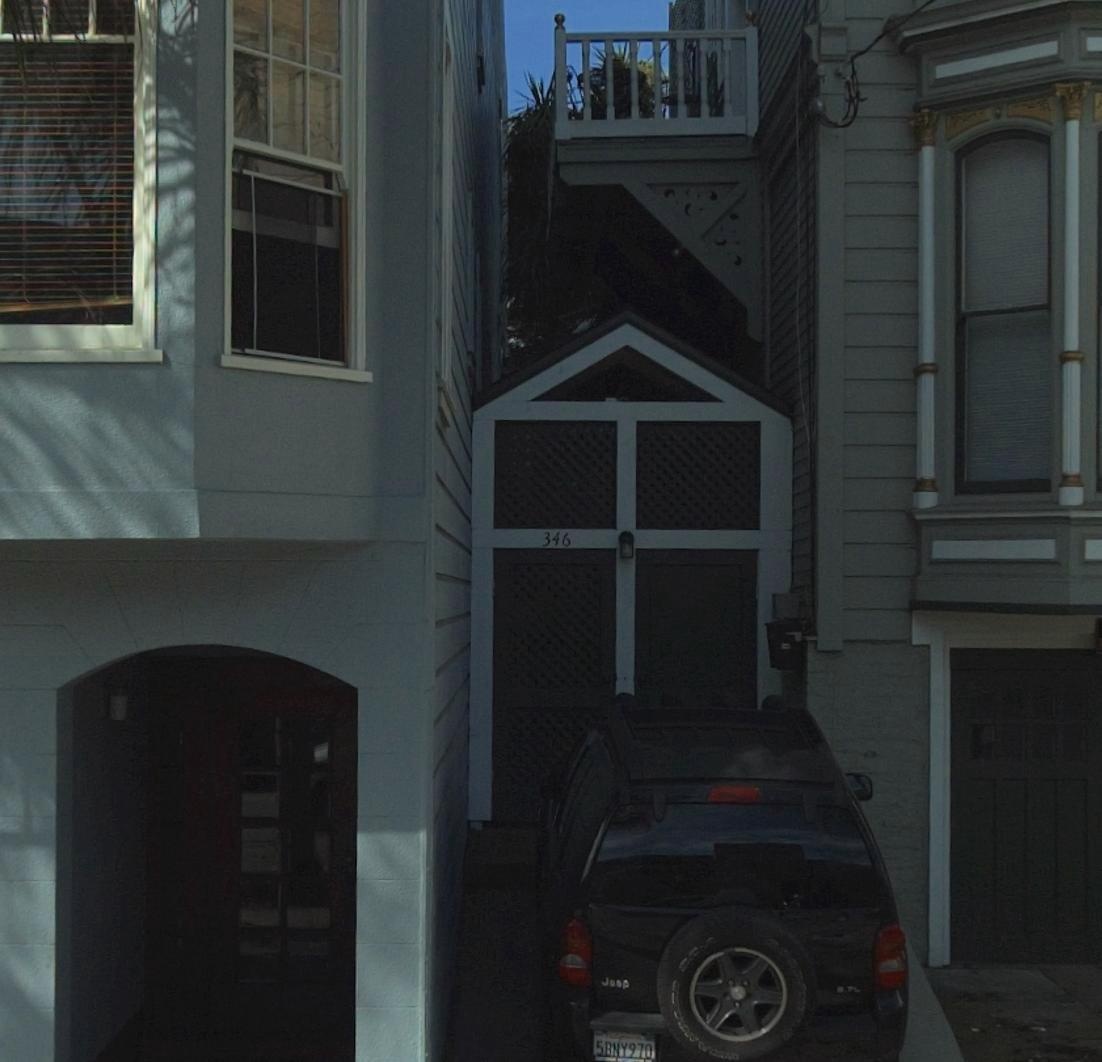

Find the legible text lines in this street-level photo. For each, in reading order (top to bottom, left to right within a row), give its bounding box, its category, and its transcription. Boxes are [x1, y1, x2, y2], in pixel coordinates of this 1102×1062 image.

[542, 530, 571, 548] StreetNumber: 346
[600, 975, 631, 991] None: Jeep
[595, 1040, 654, 1060] None: 5BNY970